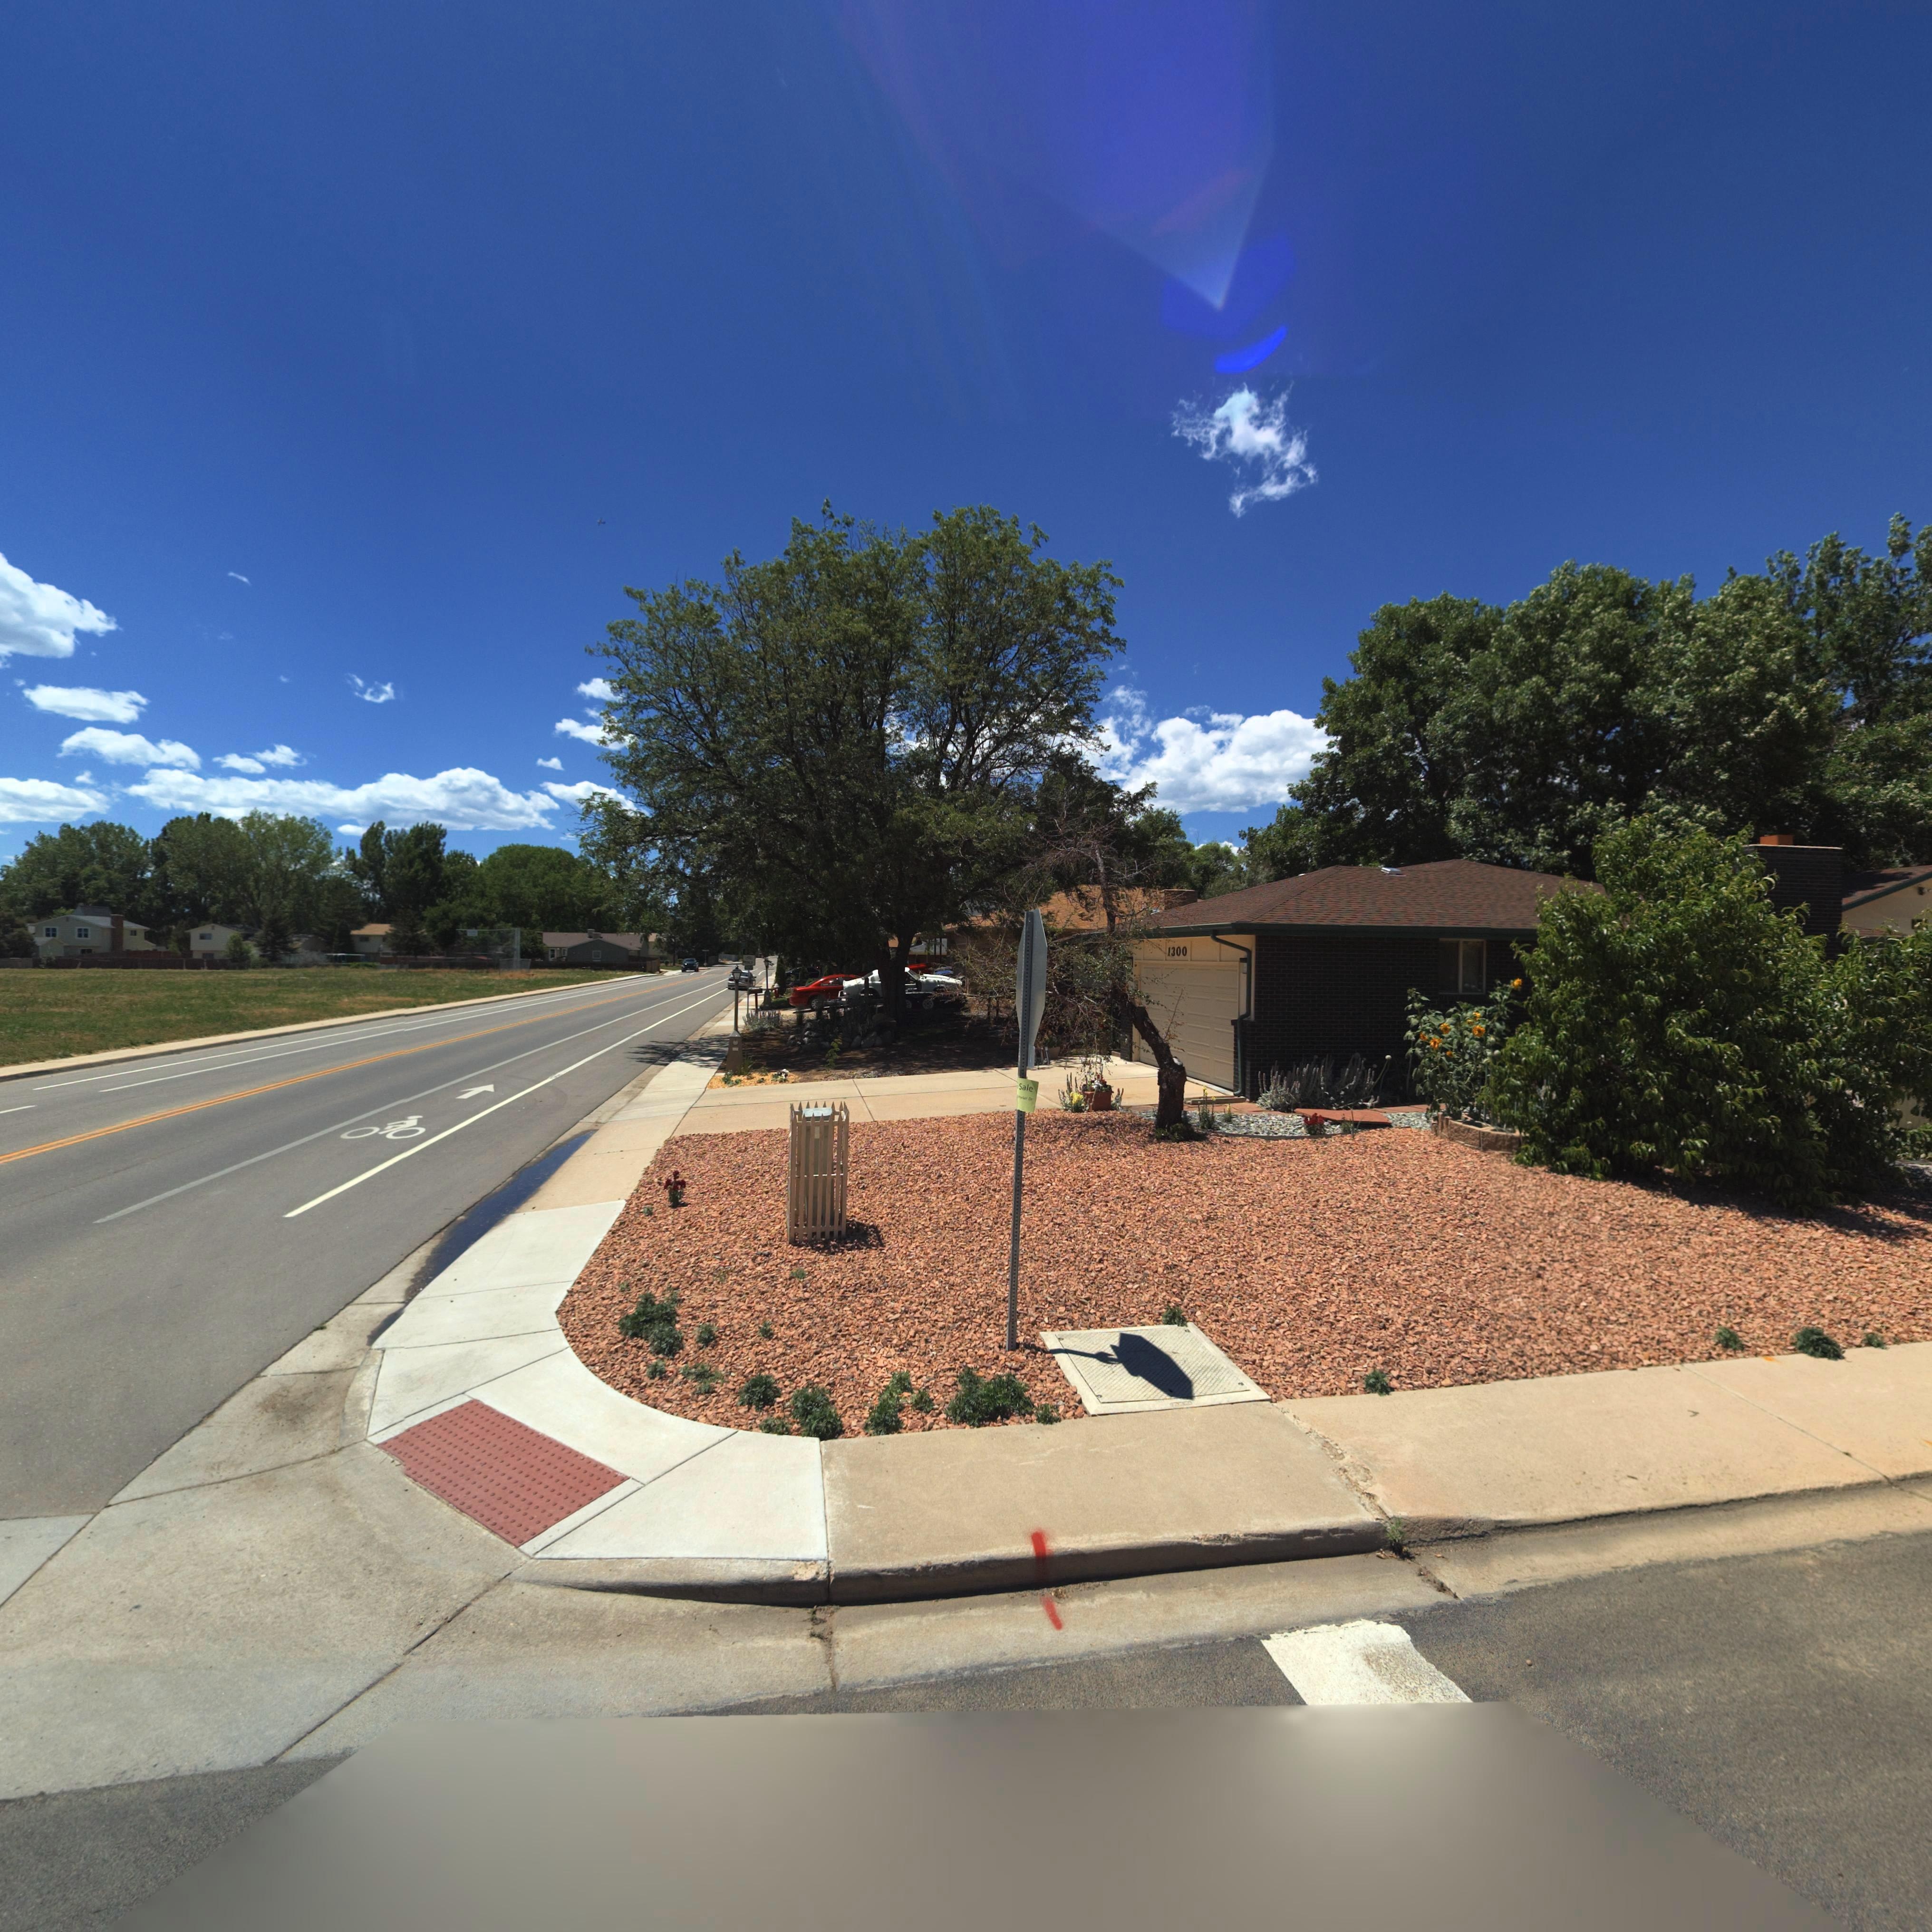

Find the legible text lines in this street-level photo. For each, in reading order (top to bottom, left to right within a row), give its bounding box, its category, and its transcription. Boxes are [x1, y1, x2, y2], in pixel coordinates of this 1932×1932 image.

[1166, 946, 1188, 956] StreetNumber: 1300